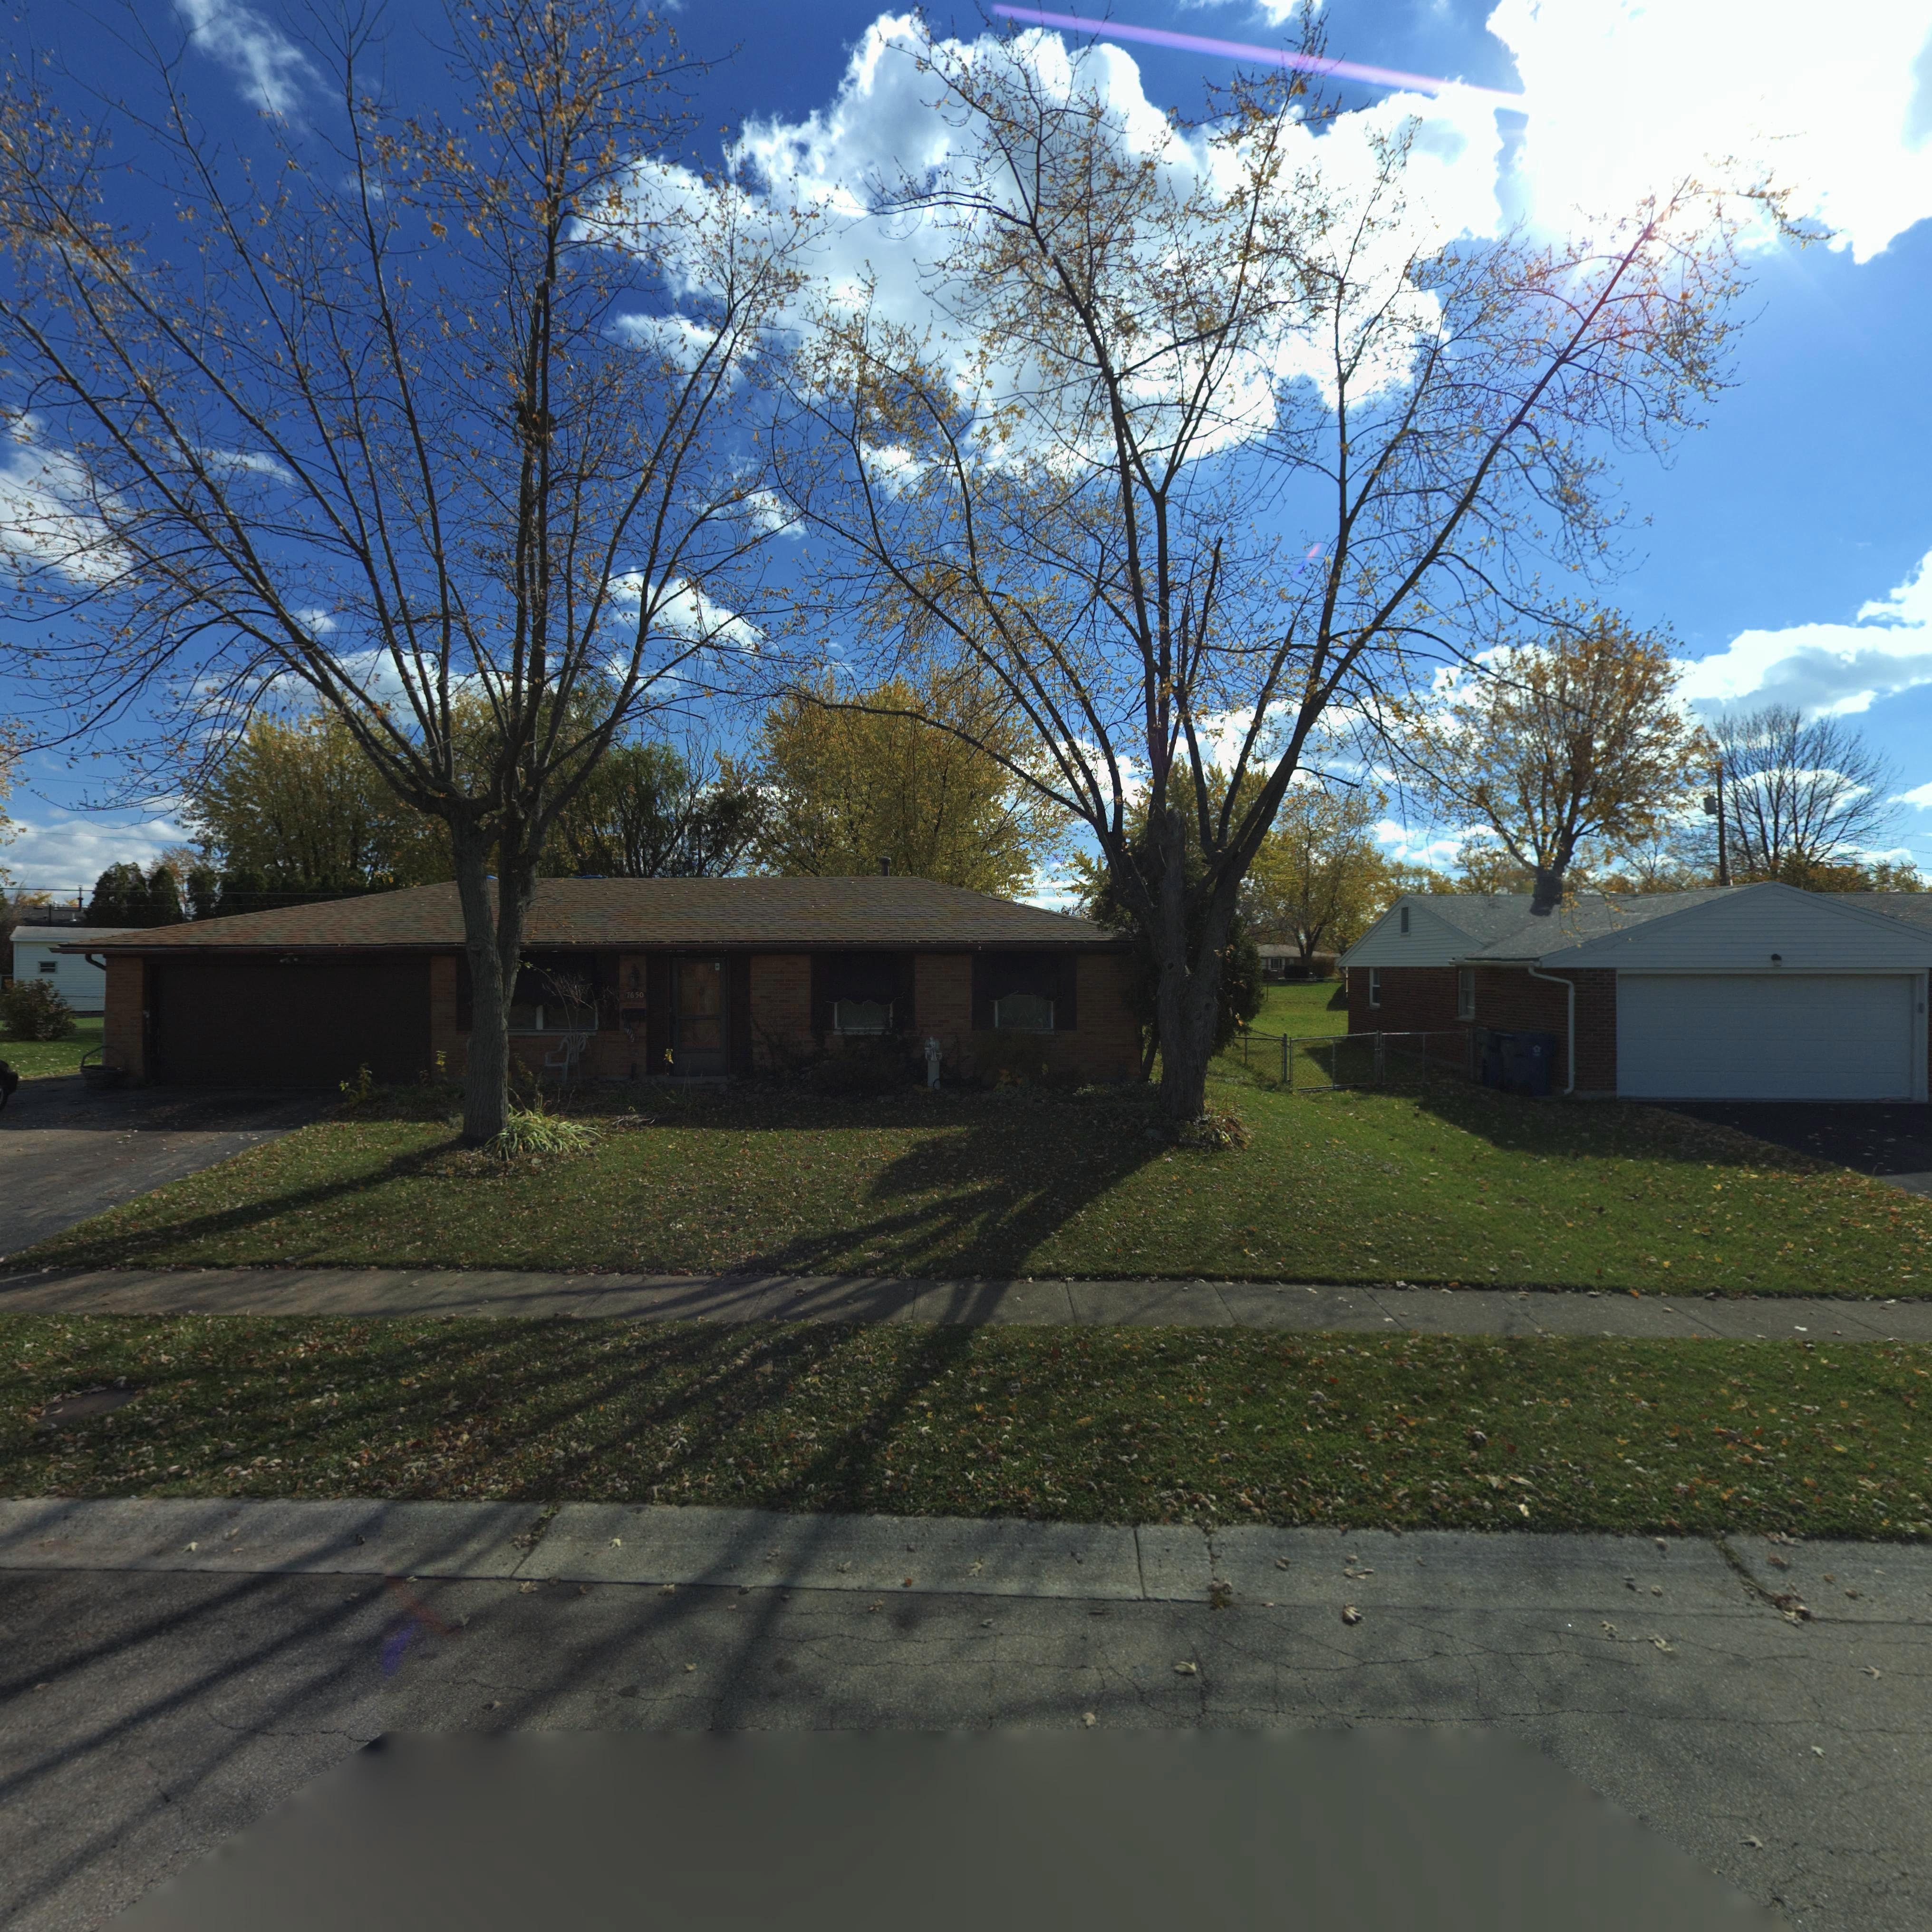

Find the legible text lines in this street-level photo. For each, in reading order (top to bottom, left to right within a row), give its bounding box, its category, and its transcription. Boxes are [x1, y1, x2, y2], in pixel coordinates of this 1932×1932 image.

[626, 991, 645, 999] StreetNumber: 7650